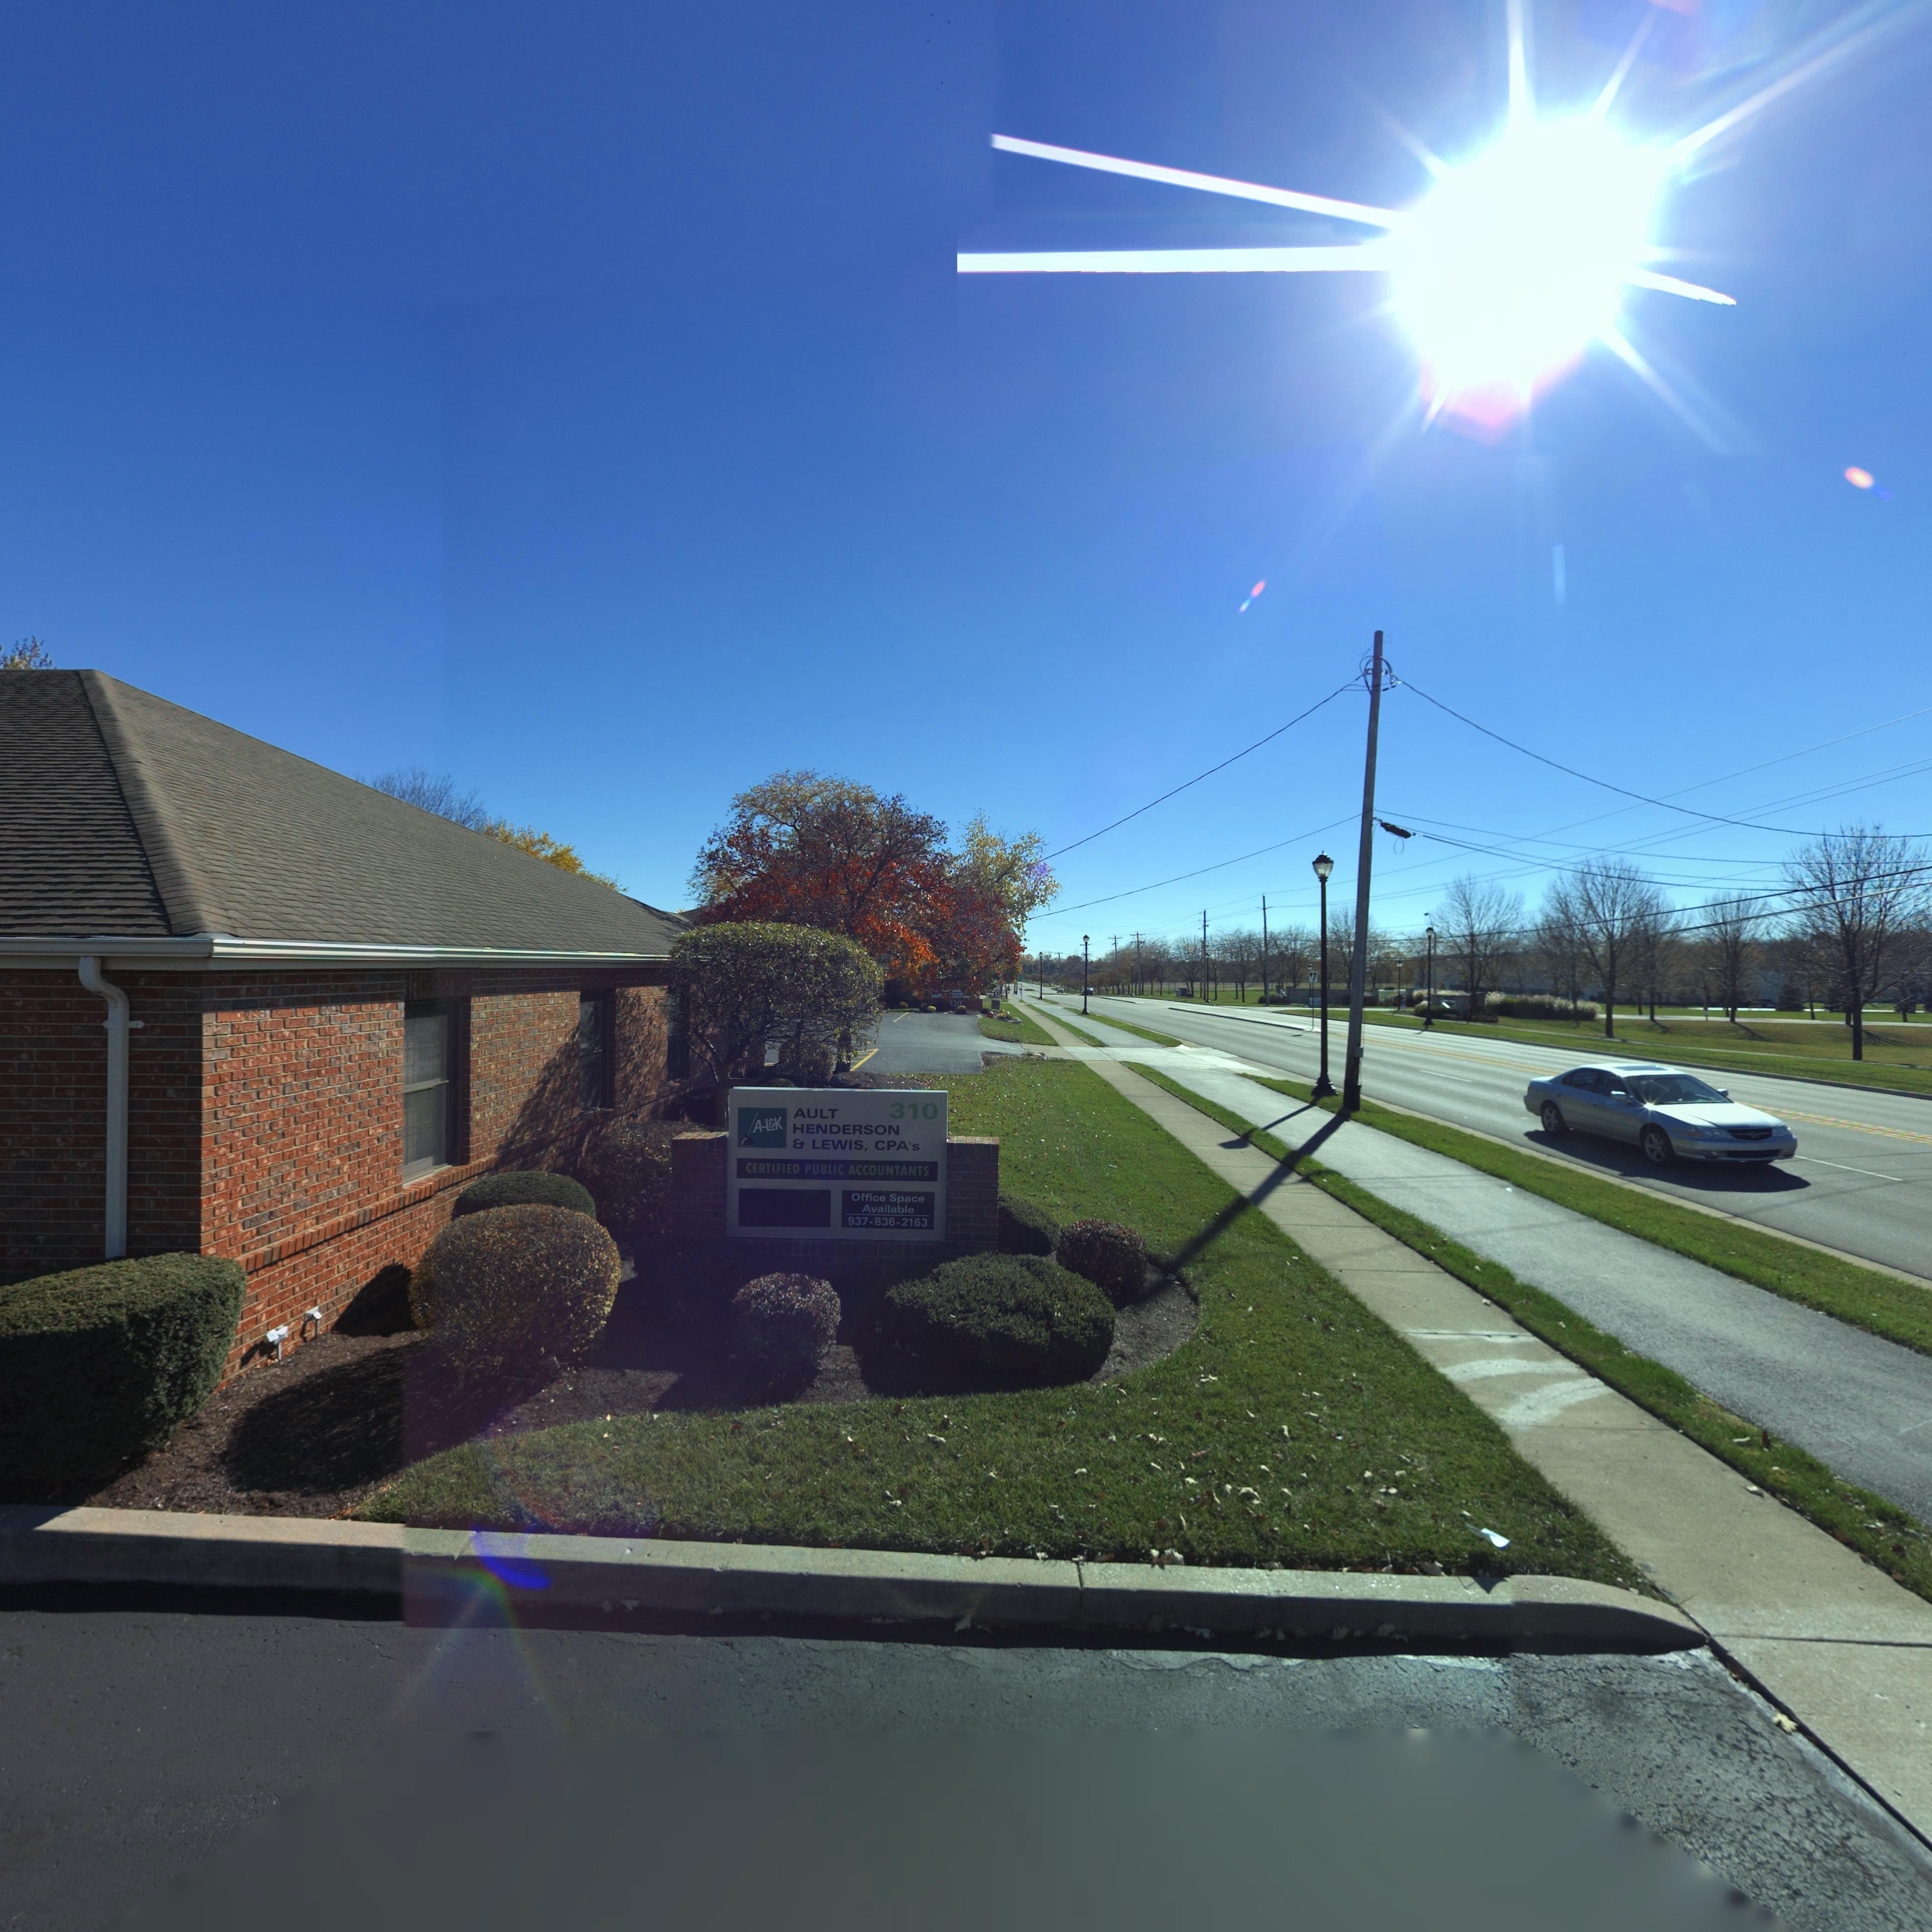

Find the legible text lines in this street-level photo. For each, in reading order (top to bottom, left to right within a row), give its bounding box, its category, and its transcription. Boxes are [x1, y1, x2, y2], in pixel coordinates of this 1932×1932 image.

[947, 999, 963, 1008] StreetNumber: *2*
[792, 1107, 840, 1120] BusinessName: AULT
[886, 1100, 941, 1122] StreetNumber: 310
[751, 1115, 784, 1134] None: A-L&K
[792, 1123, 900, 1136] BusinessName: HENDERSON
[792, 1138, 921, 1152] BusinessName: & LEWIS, CPA's
[744, 1162, 930, 1177] None: CERTIFIED PUBLIC ACCOUNTANTS
[850, 1192, 926, 1205] None: Office Space
[860, 1203, 915, 1215] None: Available
[847, 1216, 928, 1227] None: 937-836-2163